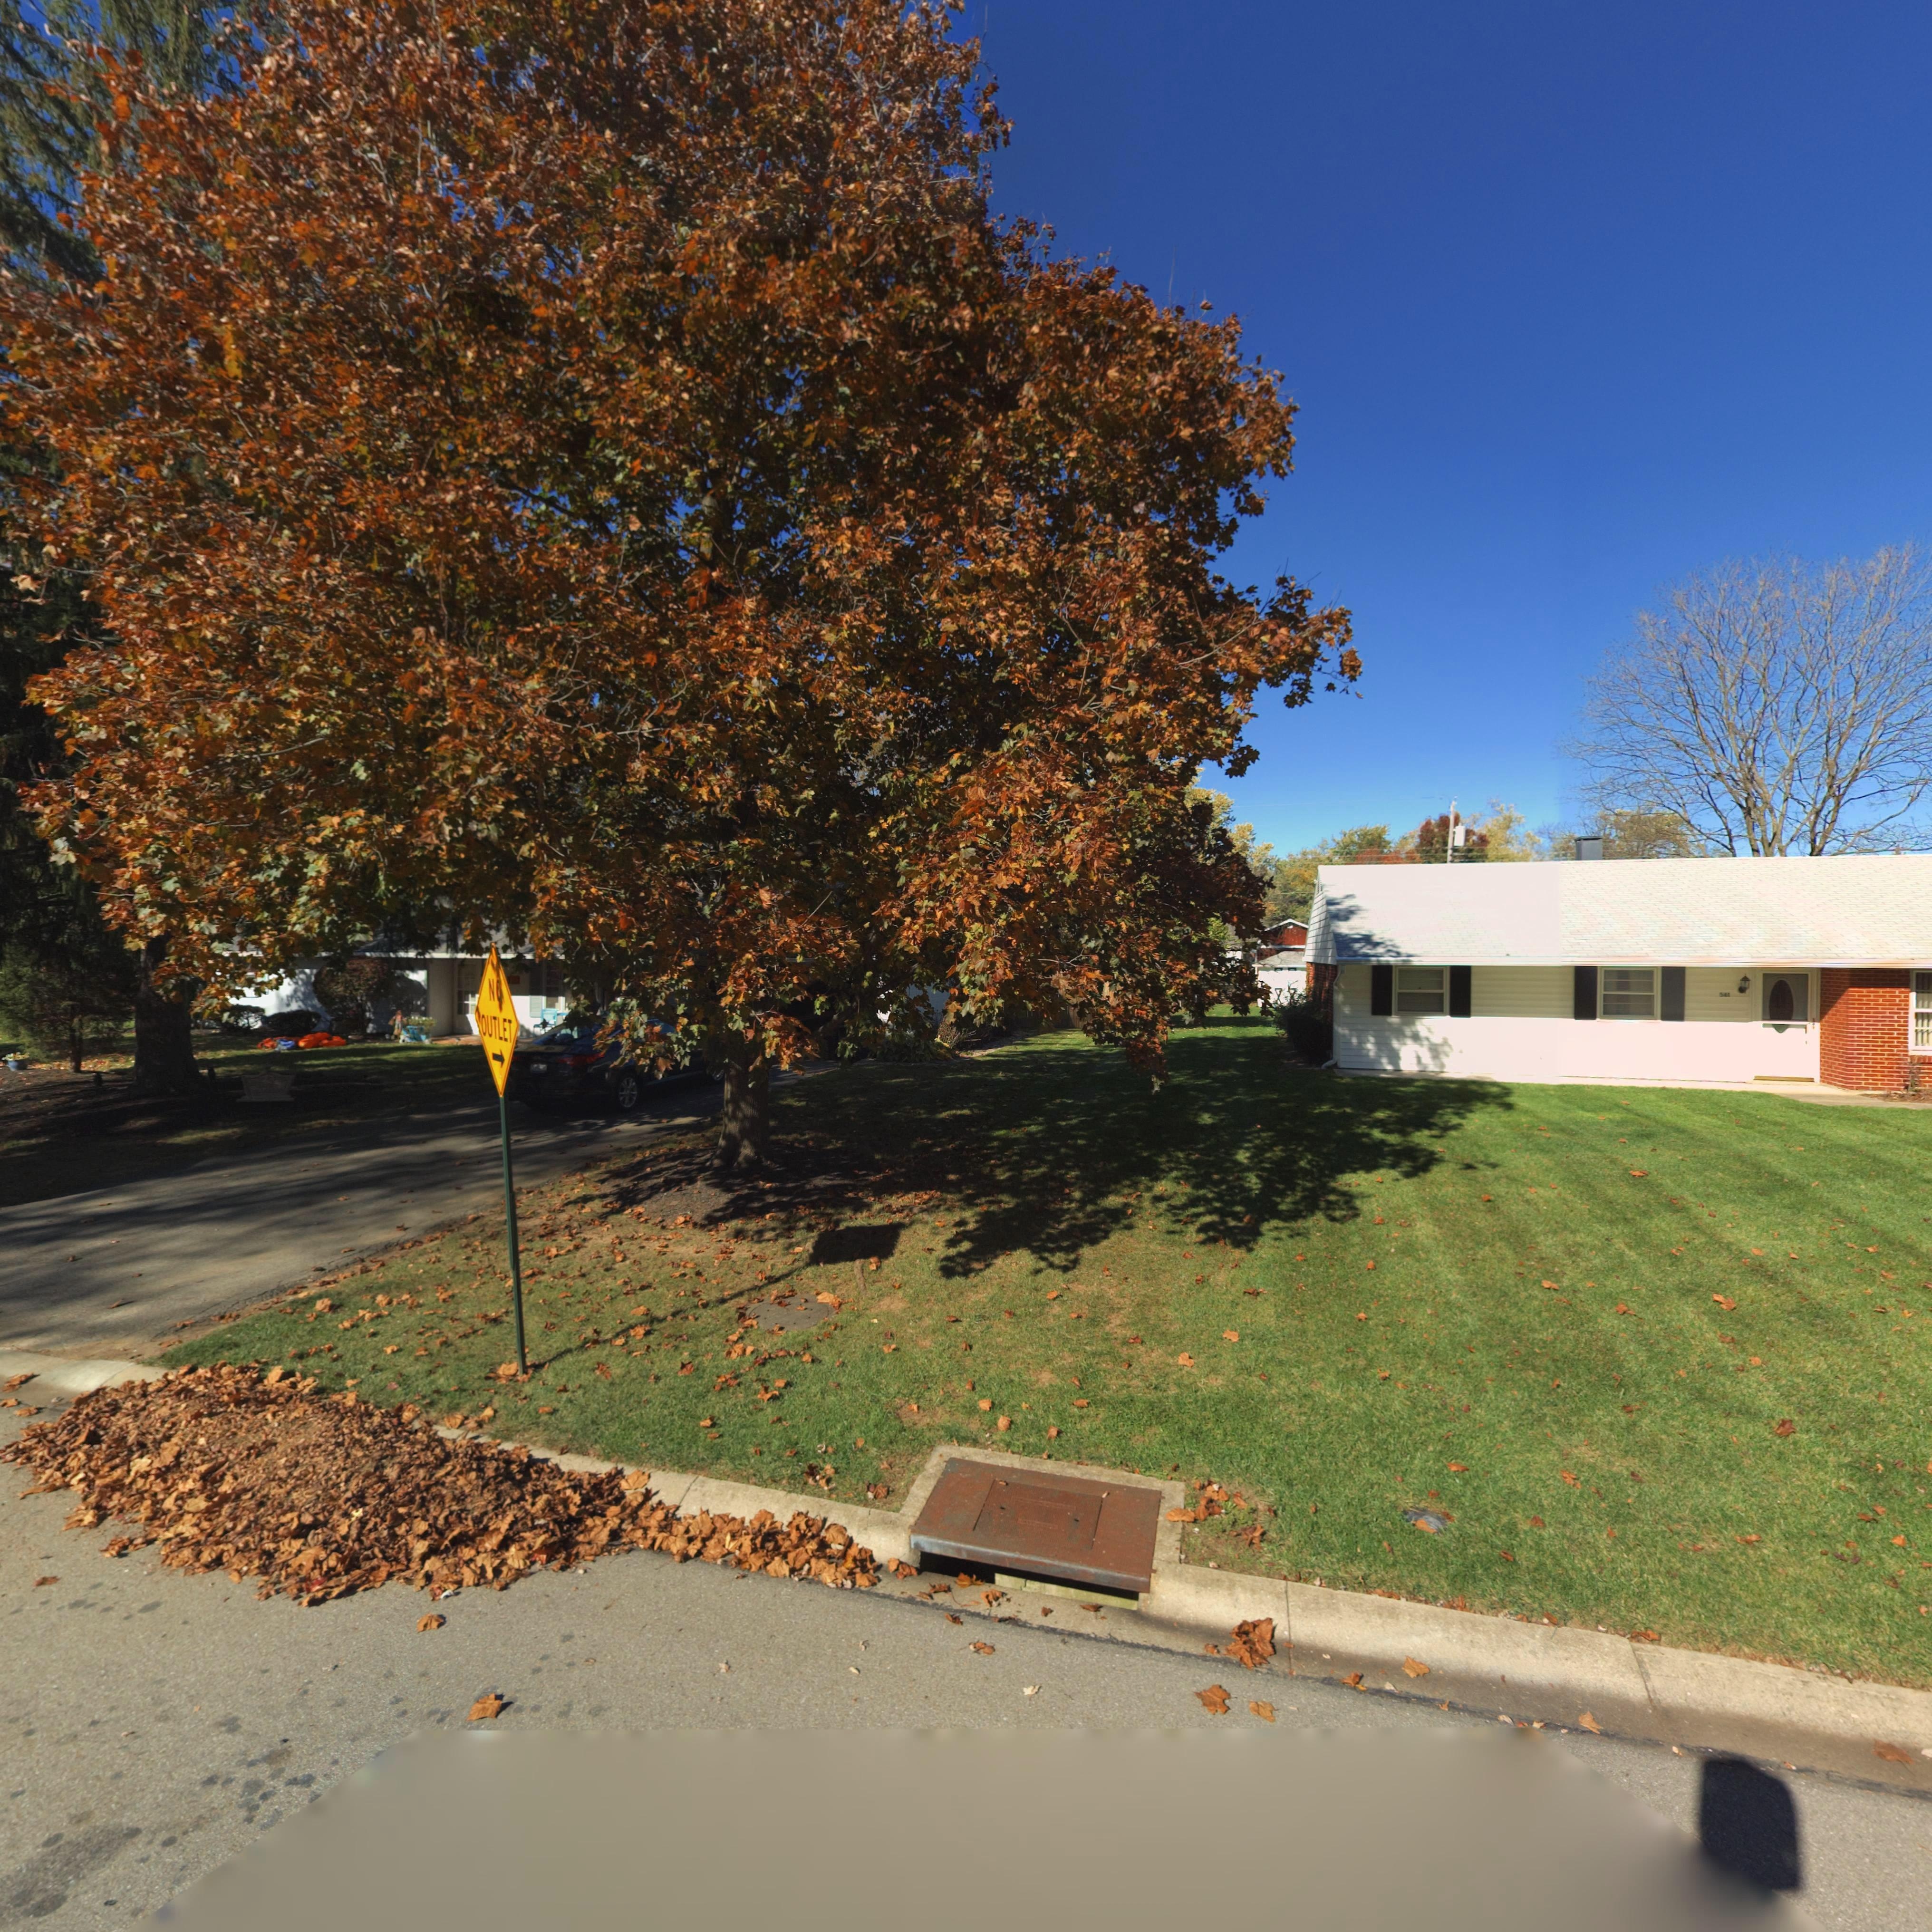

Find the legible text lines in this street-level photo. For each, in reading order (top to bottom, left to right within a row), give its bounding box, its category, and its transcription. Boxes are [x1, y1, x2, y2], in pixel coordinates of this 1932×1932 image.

[487, 977, 502, 1003] None: NO
[1719, 992, 1730, 997] StreetNumber: 56*
[480, 1013, 512, 1045] None: OUTLET